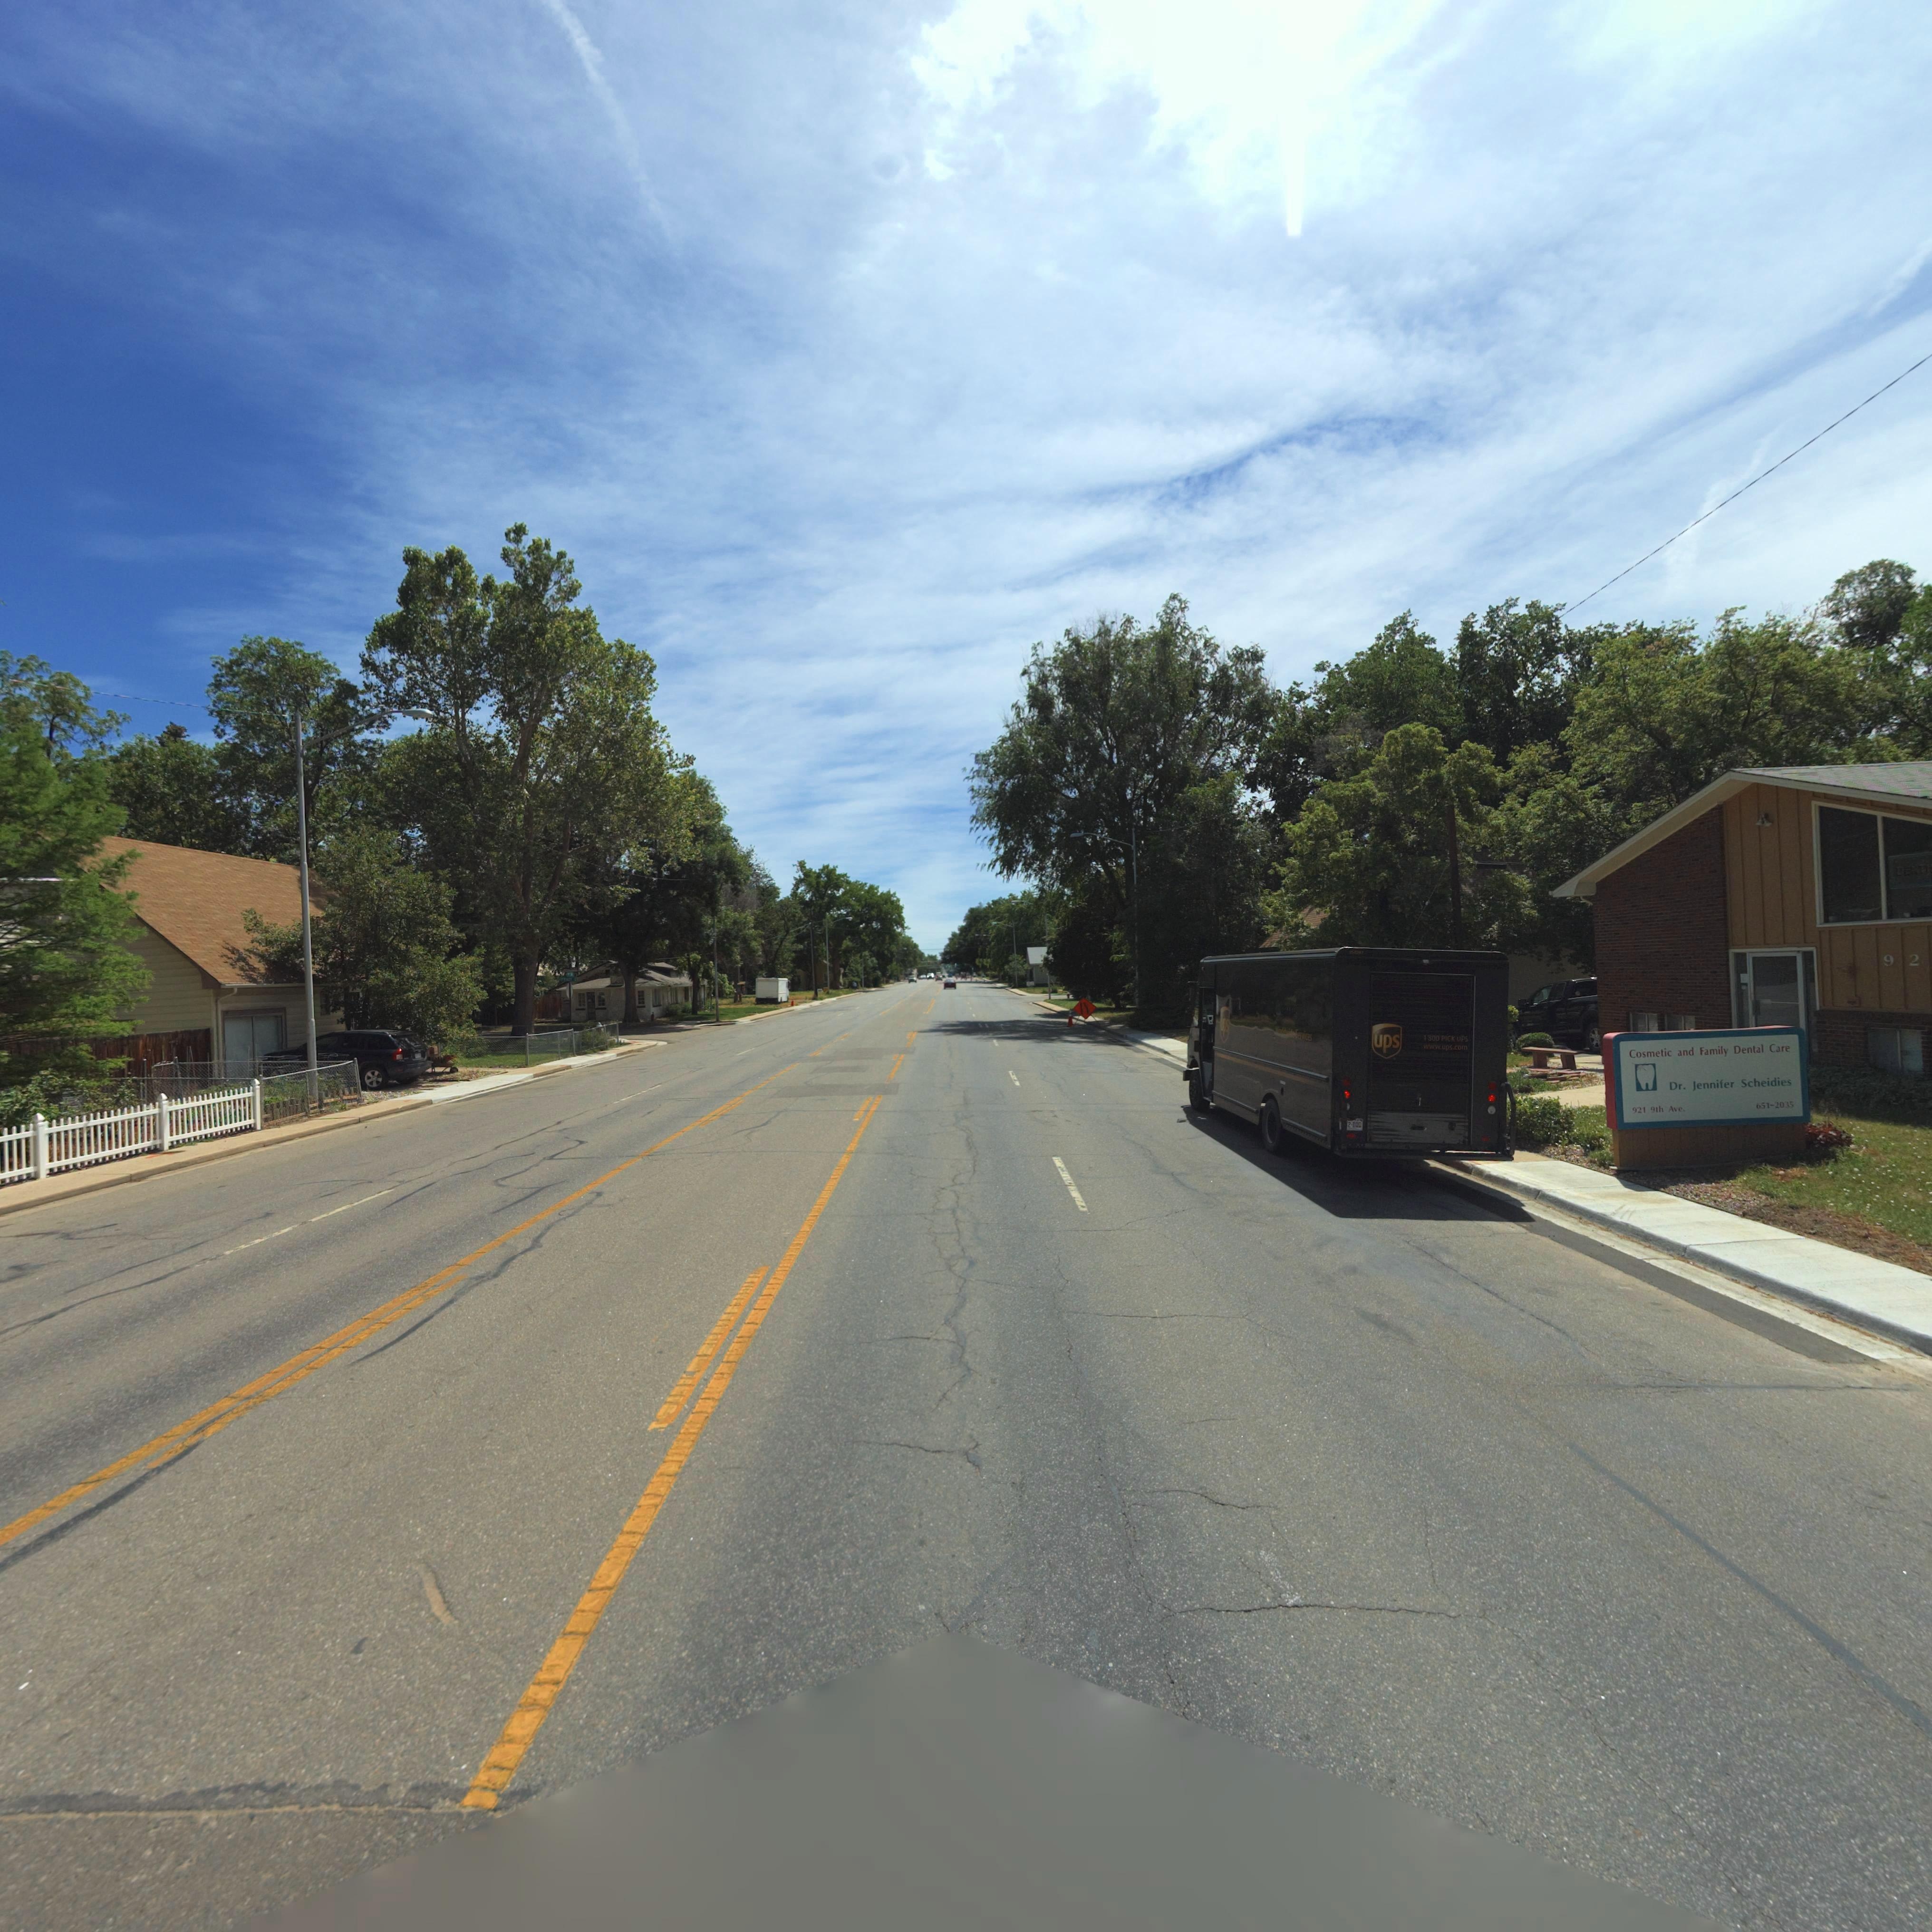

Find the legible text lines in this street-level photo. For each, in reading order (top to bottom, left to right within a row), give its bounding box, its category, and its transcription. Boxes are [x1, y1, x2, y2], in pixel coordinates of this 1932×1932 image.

[1882, 952, 1921, 968] StreetNumber: 92
[560, 977, 579, 982] StreetName: PRATT *T
[1628, 1043, 1791, 1059] BusinessName: Cosmetic and Family Dental Care
[1632, 1106, 1646, 1114] StreetNumber: 921
[1650, 1105, 1686, 1113] StreetName: 9th Ave.